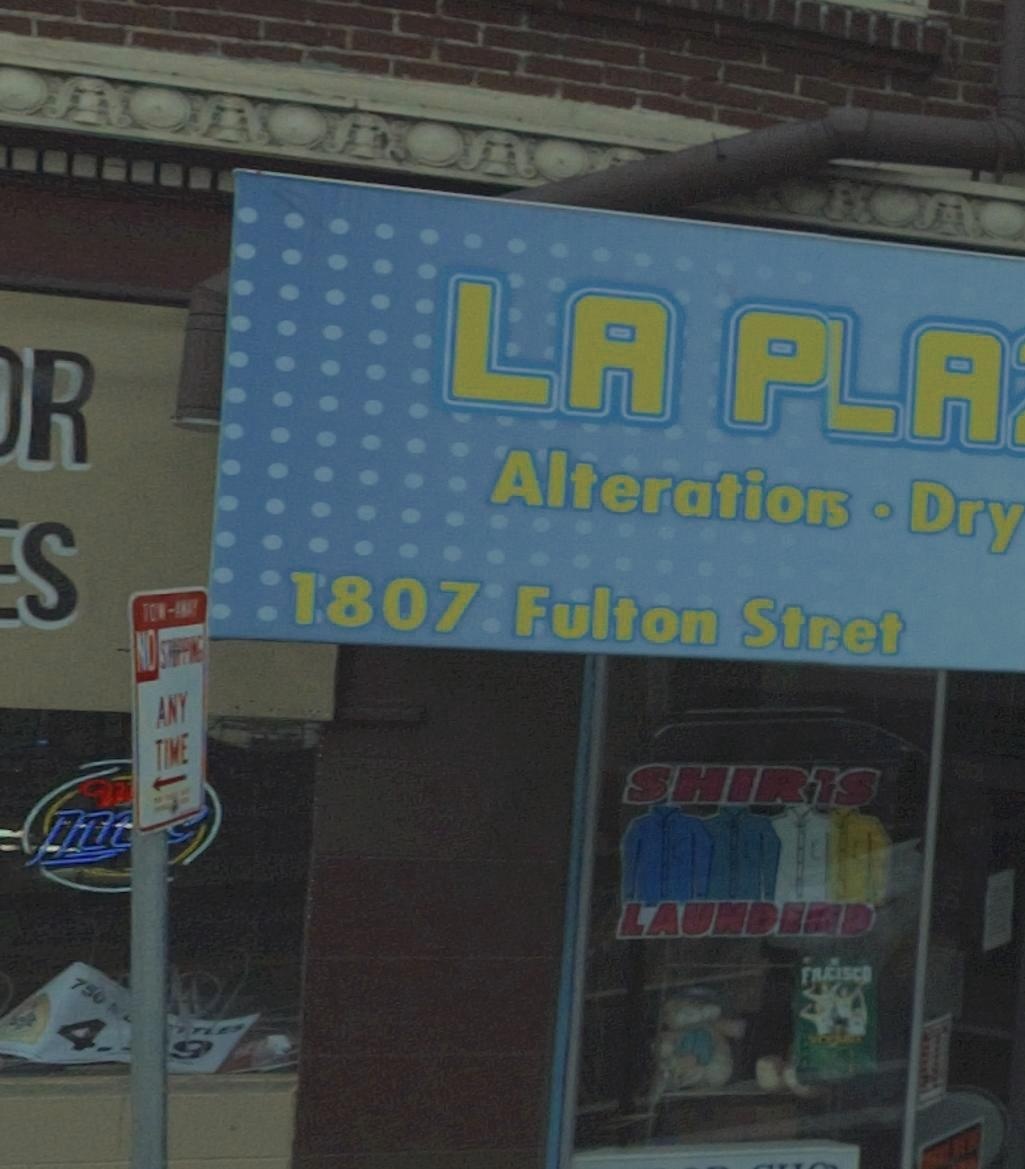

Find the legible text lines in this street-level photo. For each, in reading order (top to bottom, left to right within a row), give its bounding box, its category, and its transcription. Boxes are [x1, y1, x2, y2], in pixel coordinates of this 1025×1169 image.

[439, 267, 1012, 458] BusinessName: LA PLA
[21, 344, 98, 474] None: R
[479, 441, 1024, 557] None: Alteratio**Dry
[12, 514, 83, 634] None: S
[138, 594, 201, 625] None: TOW-AWAY
[287, 568, 489, 635] StreetNumber: 1807
[511, 580, 908, 657] StreetName: Fulton Stret
[132, 626, 207, 678] None: NO STOPPING
[154, 688, 189, 732] None: ANY
[152, 730, 191, 774] None: TIME
[619, 760, 886, 811] None: SHIRTS
[25, 808, 117, 870] None: LI
[610, 898, 879, 944] None: LAUNDERD